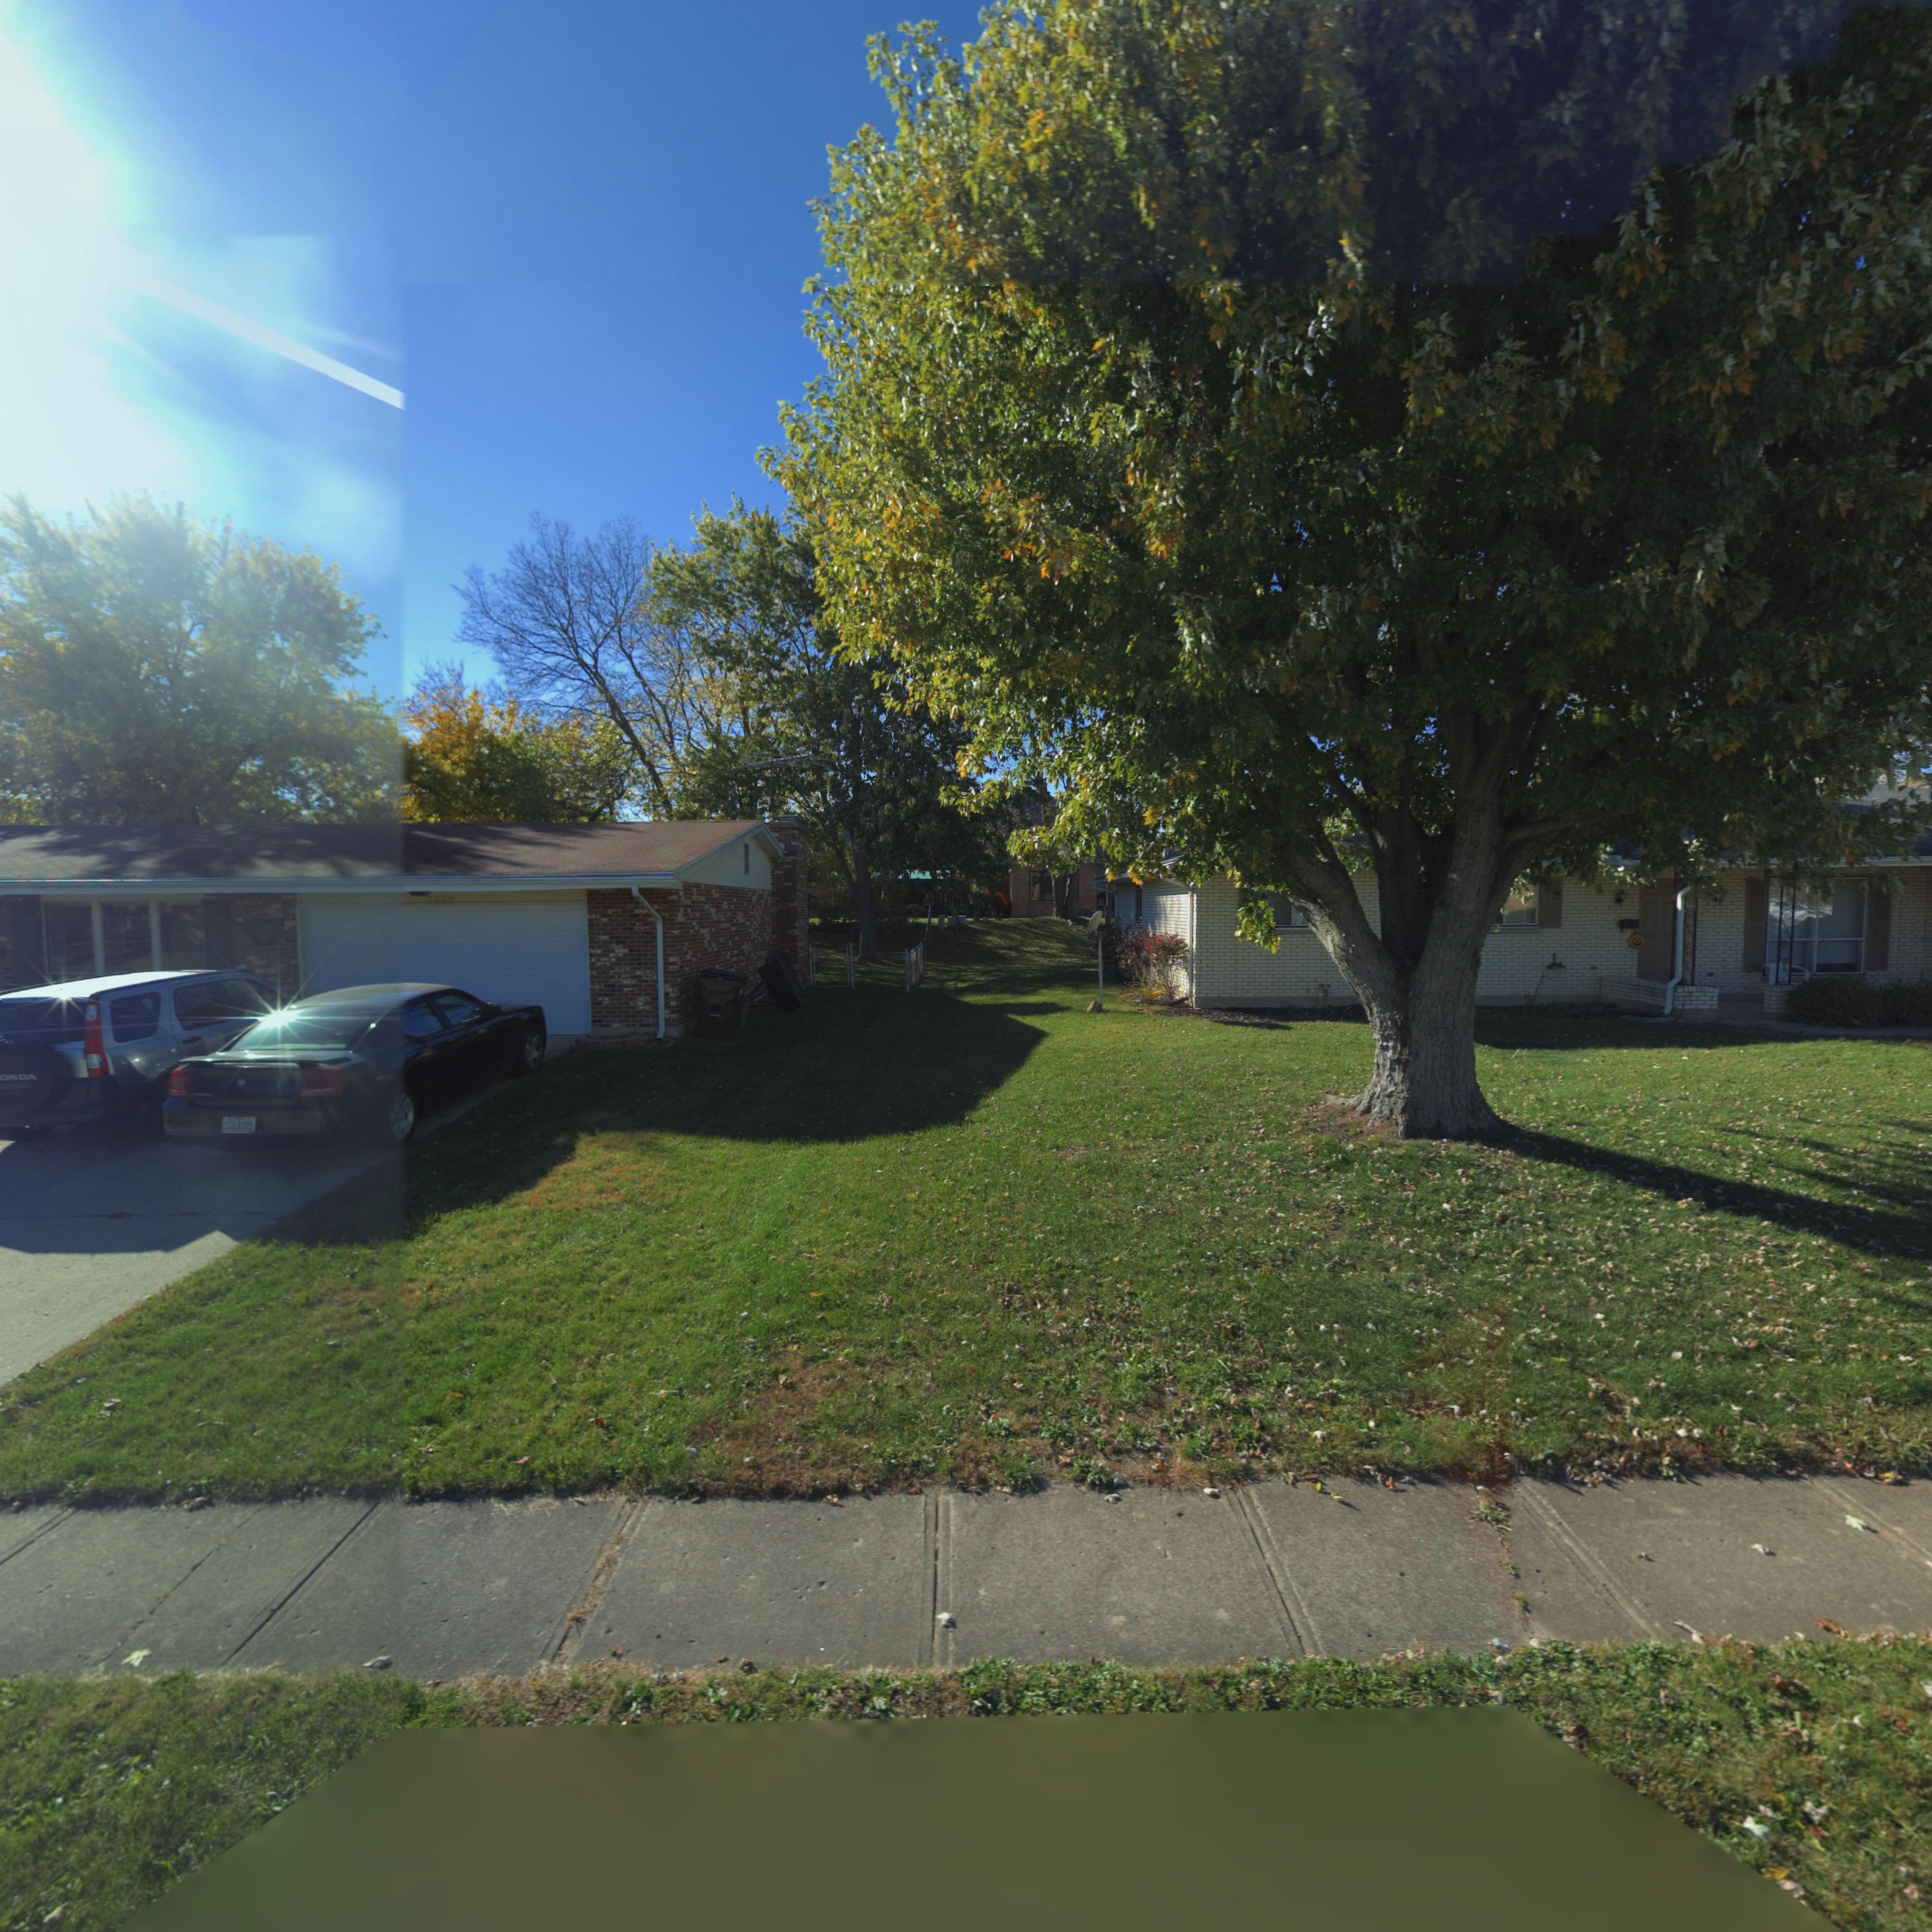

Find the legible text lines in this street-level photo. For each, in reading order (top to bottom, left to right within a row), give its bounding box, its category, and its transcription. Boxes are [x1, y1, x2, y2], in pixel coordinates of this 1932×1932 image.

[426, 894, 454, 904] StreetNumber: 7029